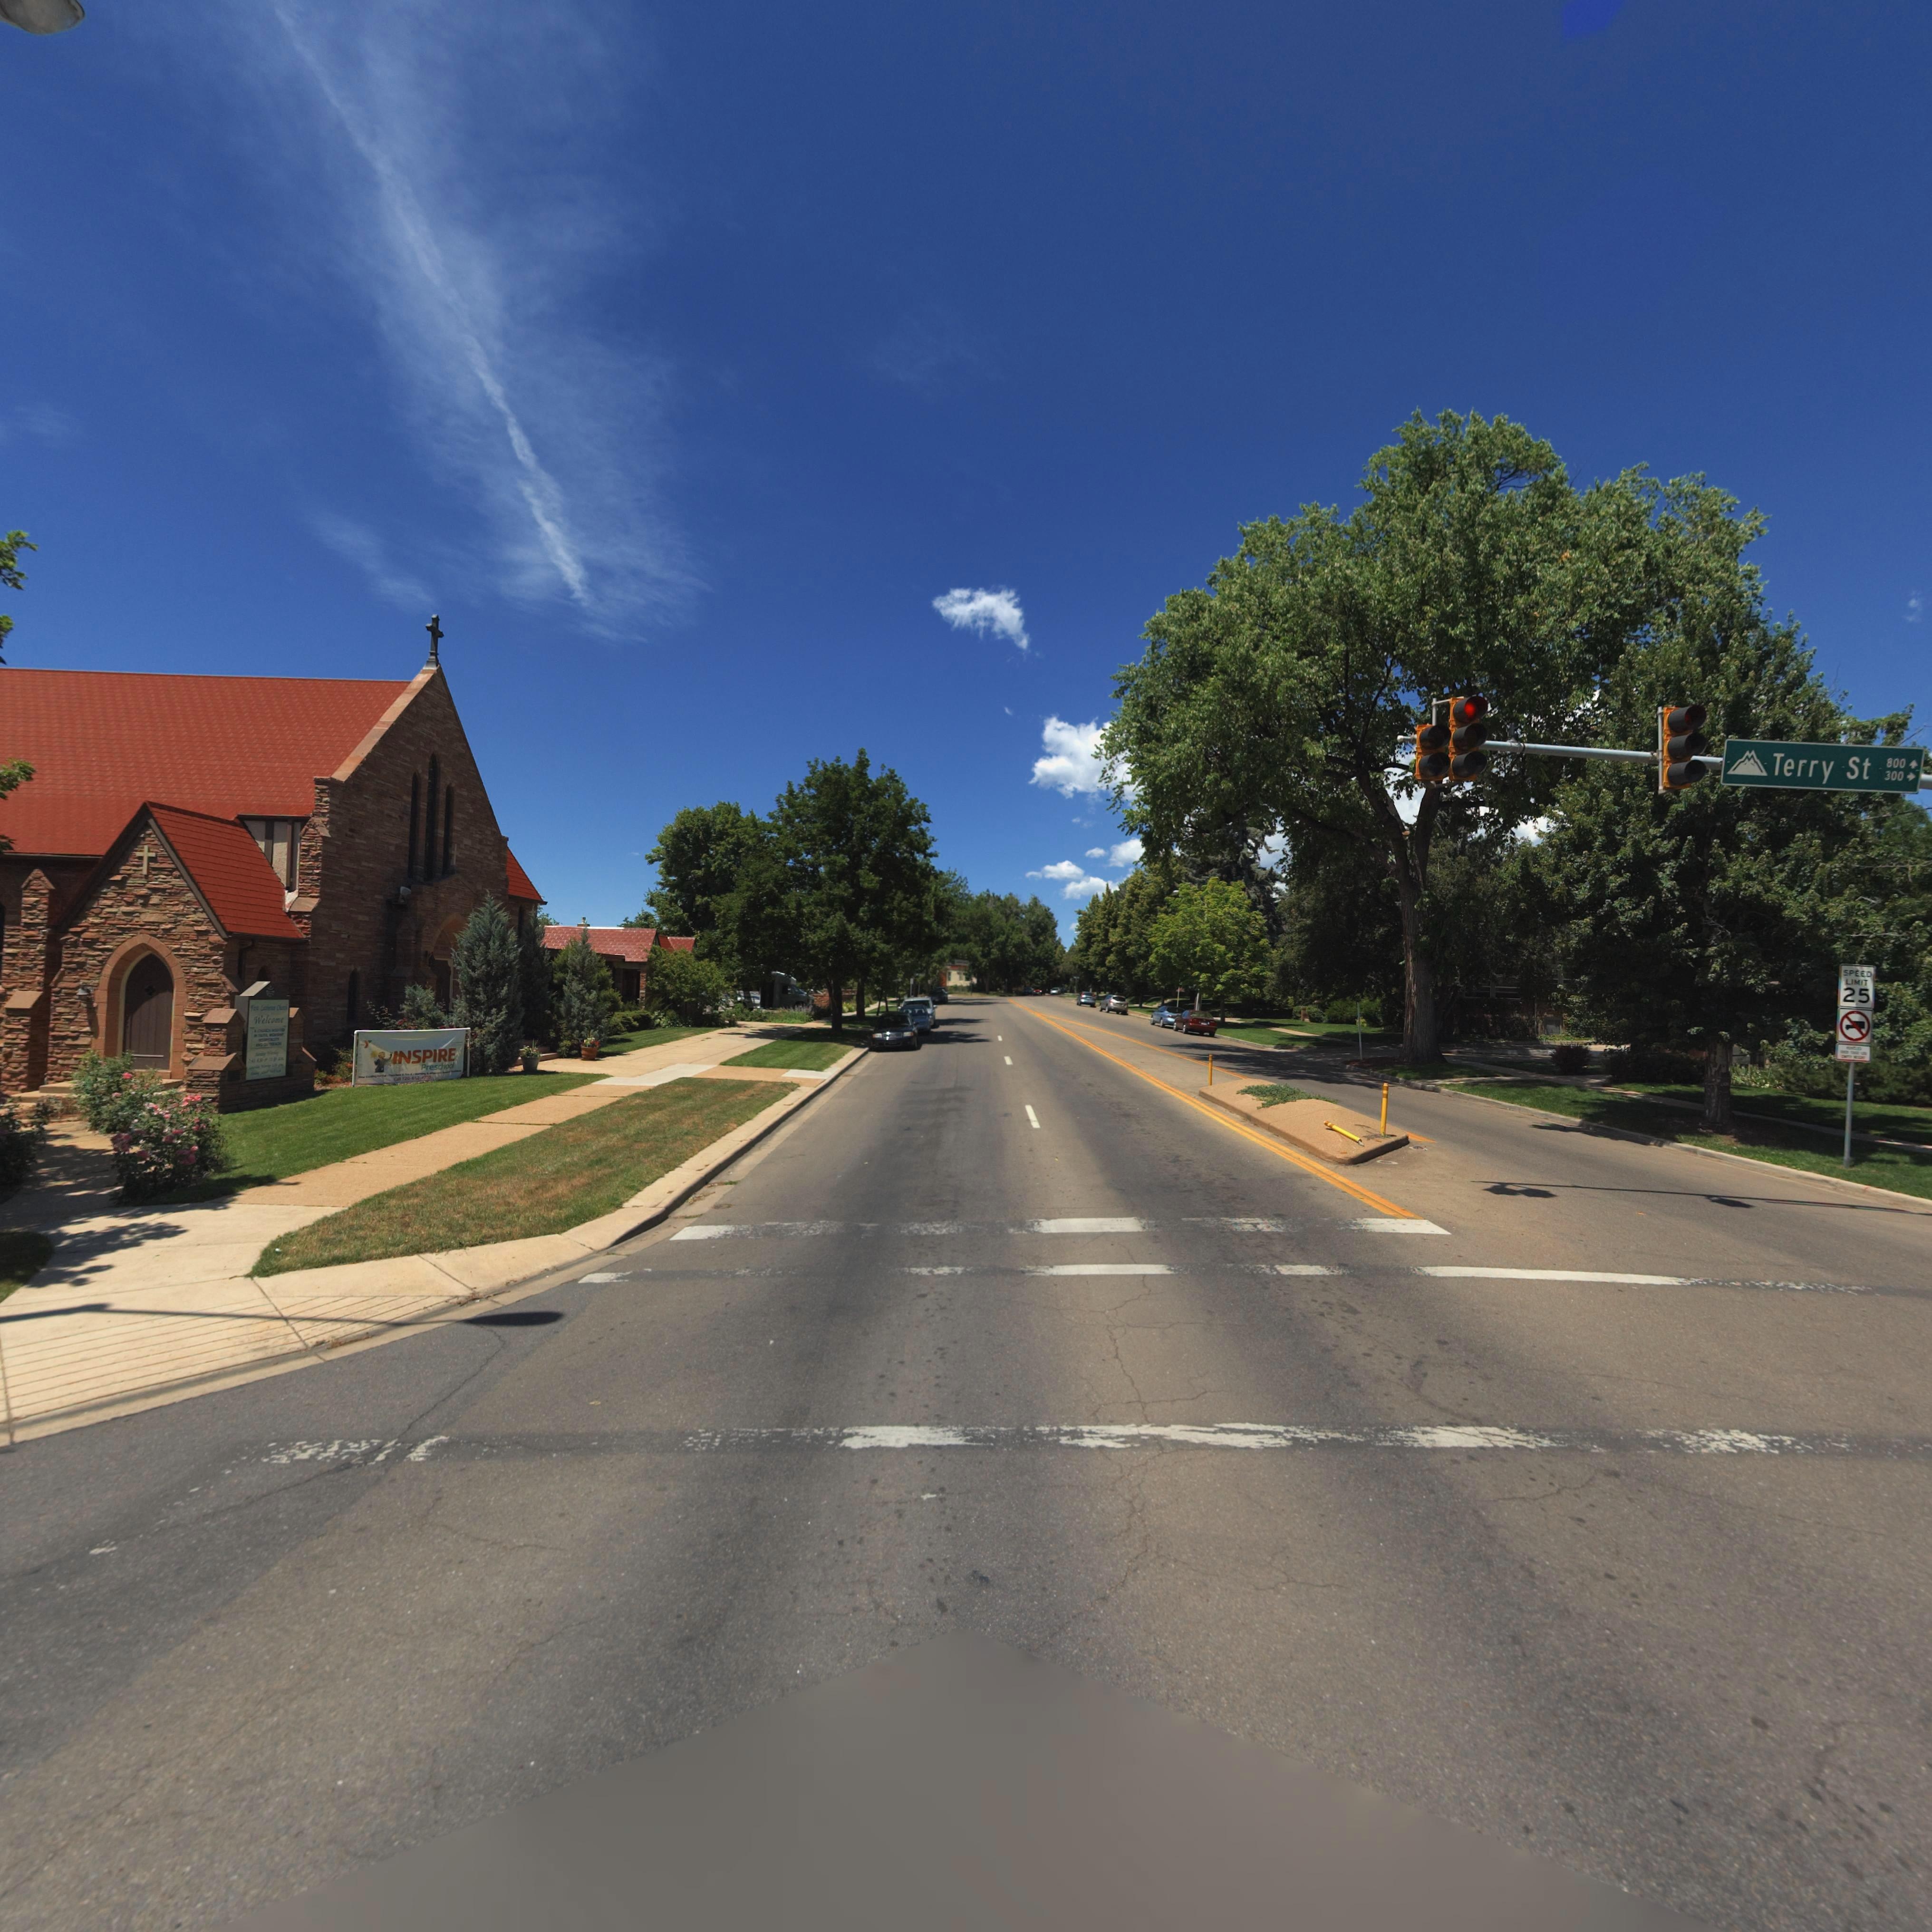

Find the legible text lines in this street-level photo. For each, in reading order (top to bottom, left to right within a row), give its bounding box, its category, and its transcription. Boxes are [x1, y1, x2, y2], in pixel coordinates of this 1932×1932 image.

[1773, 753, 1872, 784] StreetName: Terry St
[1886, 758, 1906, 769] StreetNumberRange: 800
[1884, 770, 1916, 781] StreetNumberRange: 300->
[250, 1004, 288, 1012] BusinessName: First Lutheran Church